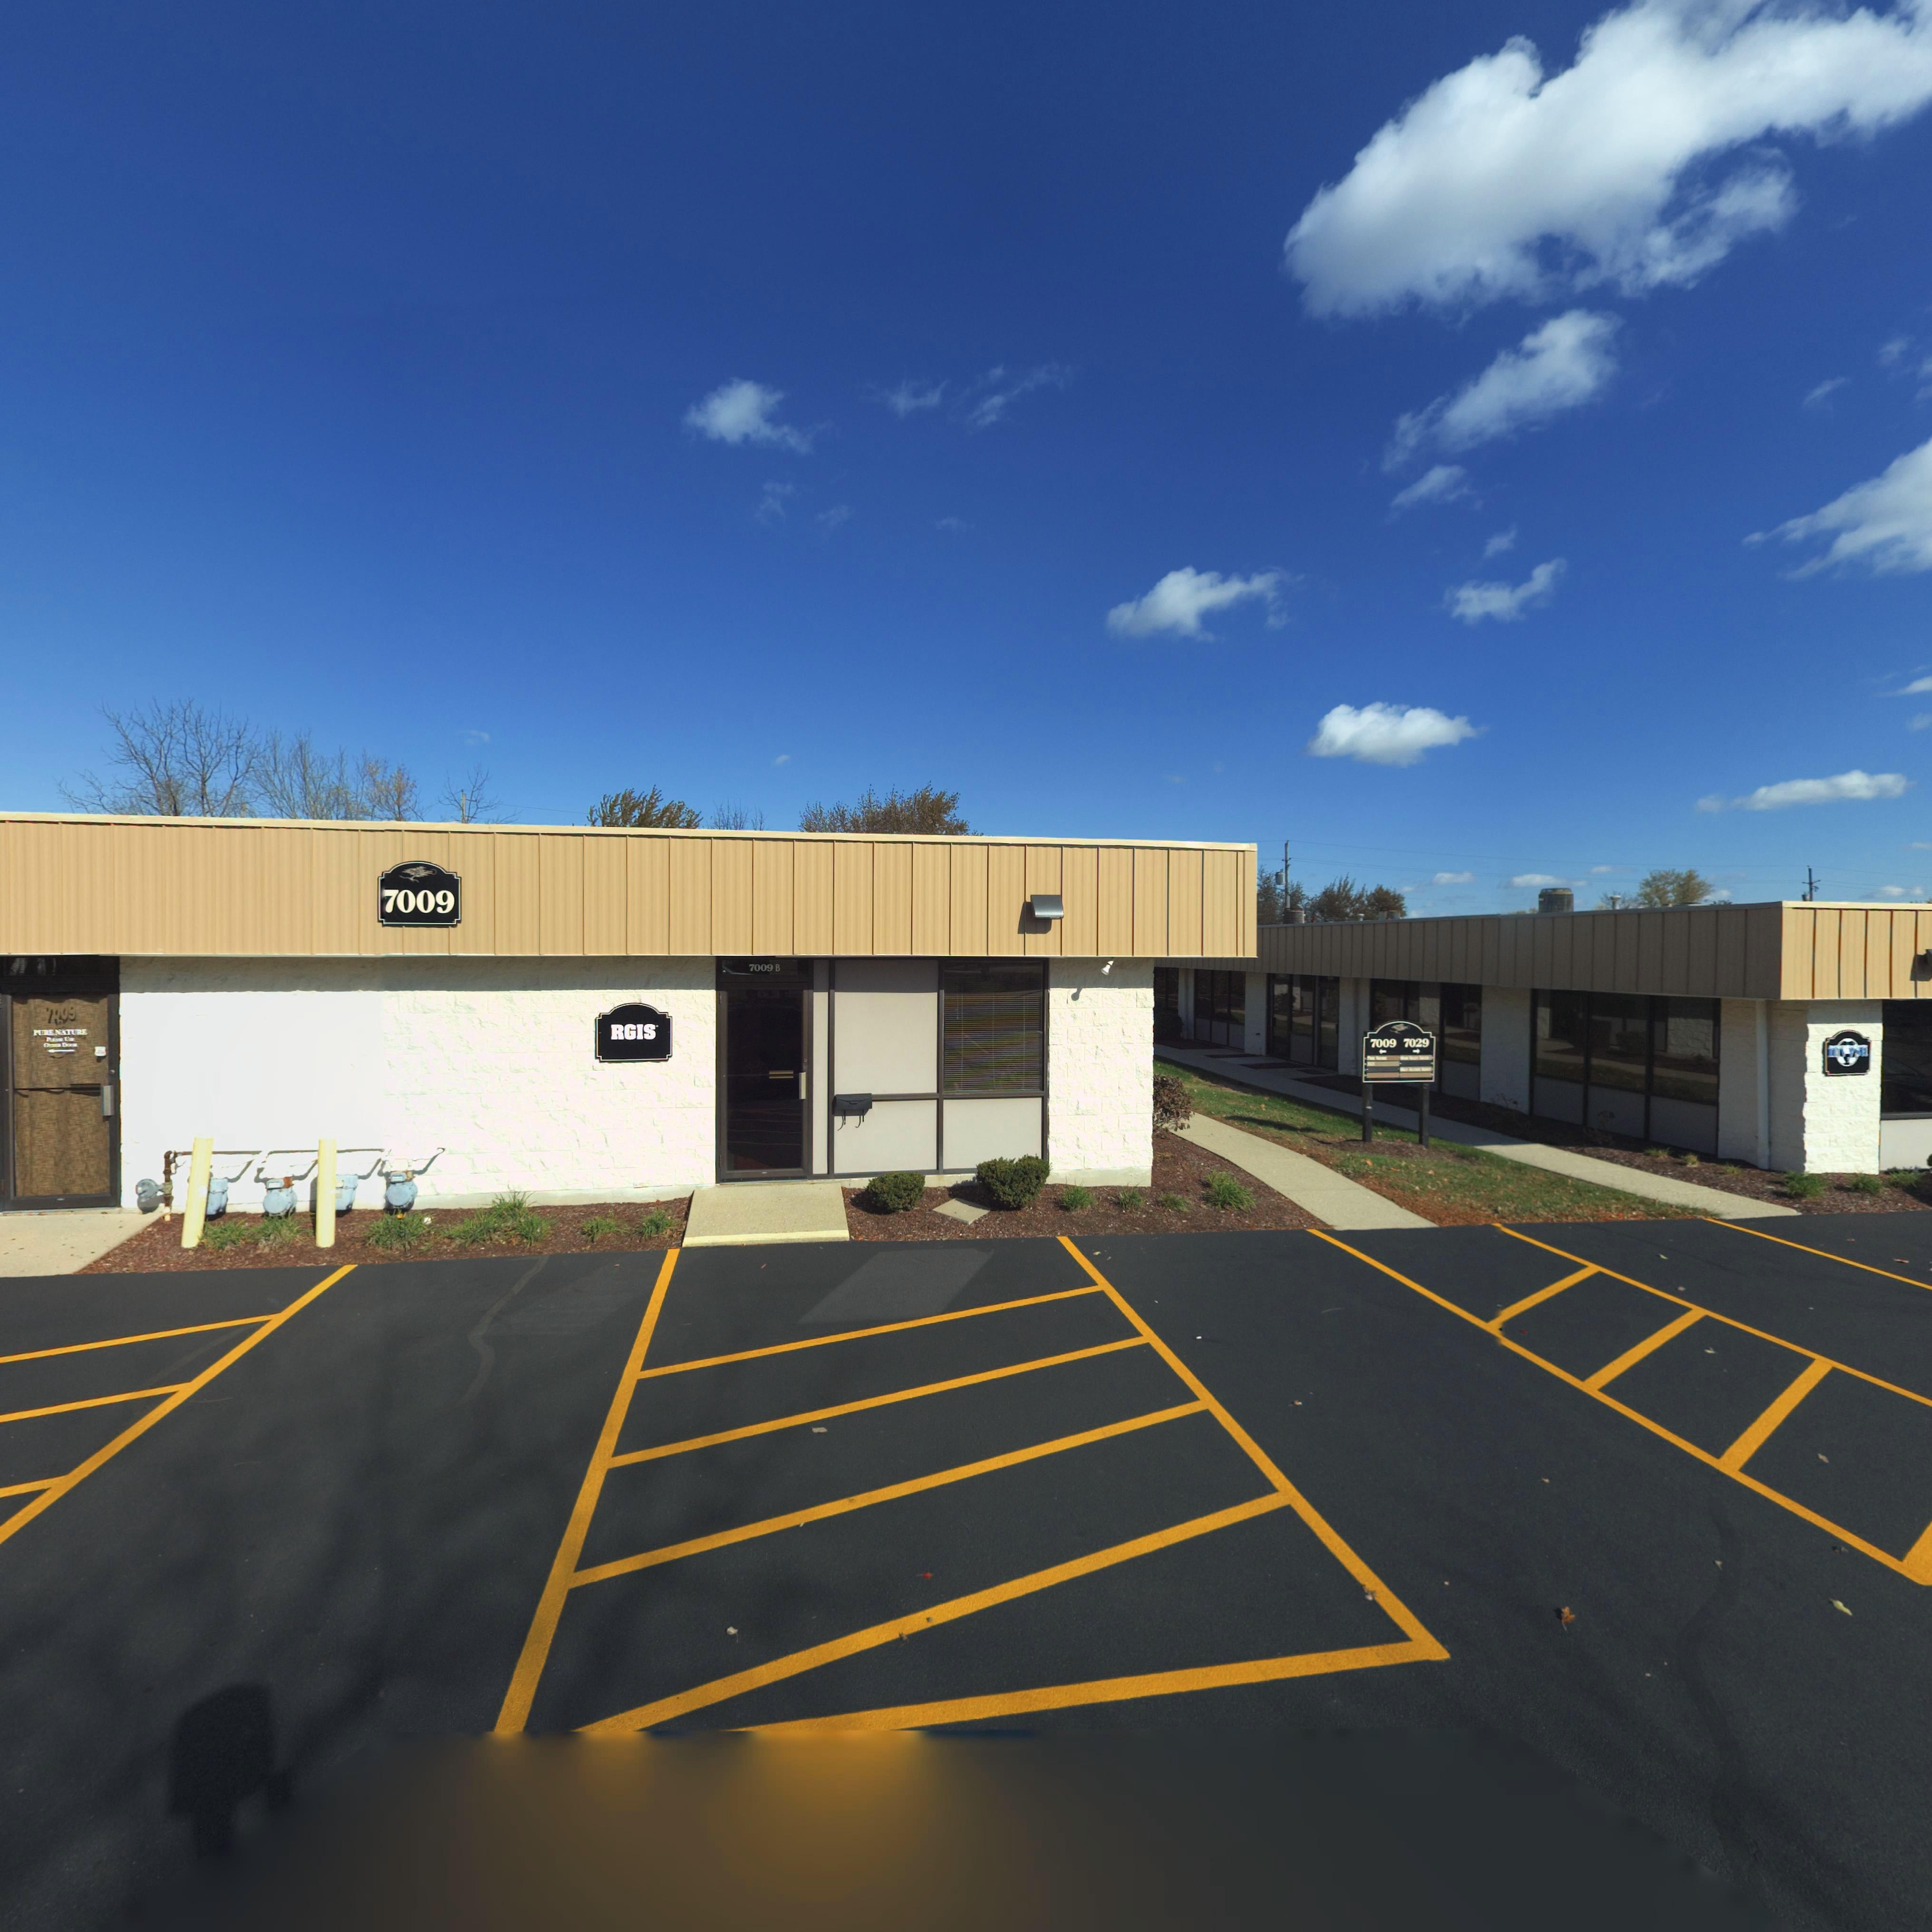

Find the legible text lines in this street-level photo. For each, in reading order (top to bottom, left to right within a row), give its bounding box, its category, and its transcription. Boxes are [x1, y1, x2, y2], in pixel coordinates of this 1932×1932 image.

[380, 888, 458, 916] StreetNumber: 7009
[748, 963, 782, 973] StreetNumber: 7009 B
[42, 1001, 77, 1026] StreetNumber: *009
[1369, 1037, 1399, 1049] StreetNumber: 7009
[1402, 1037, 1431, 1049] StreetNumber: 7029